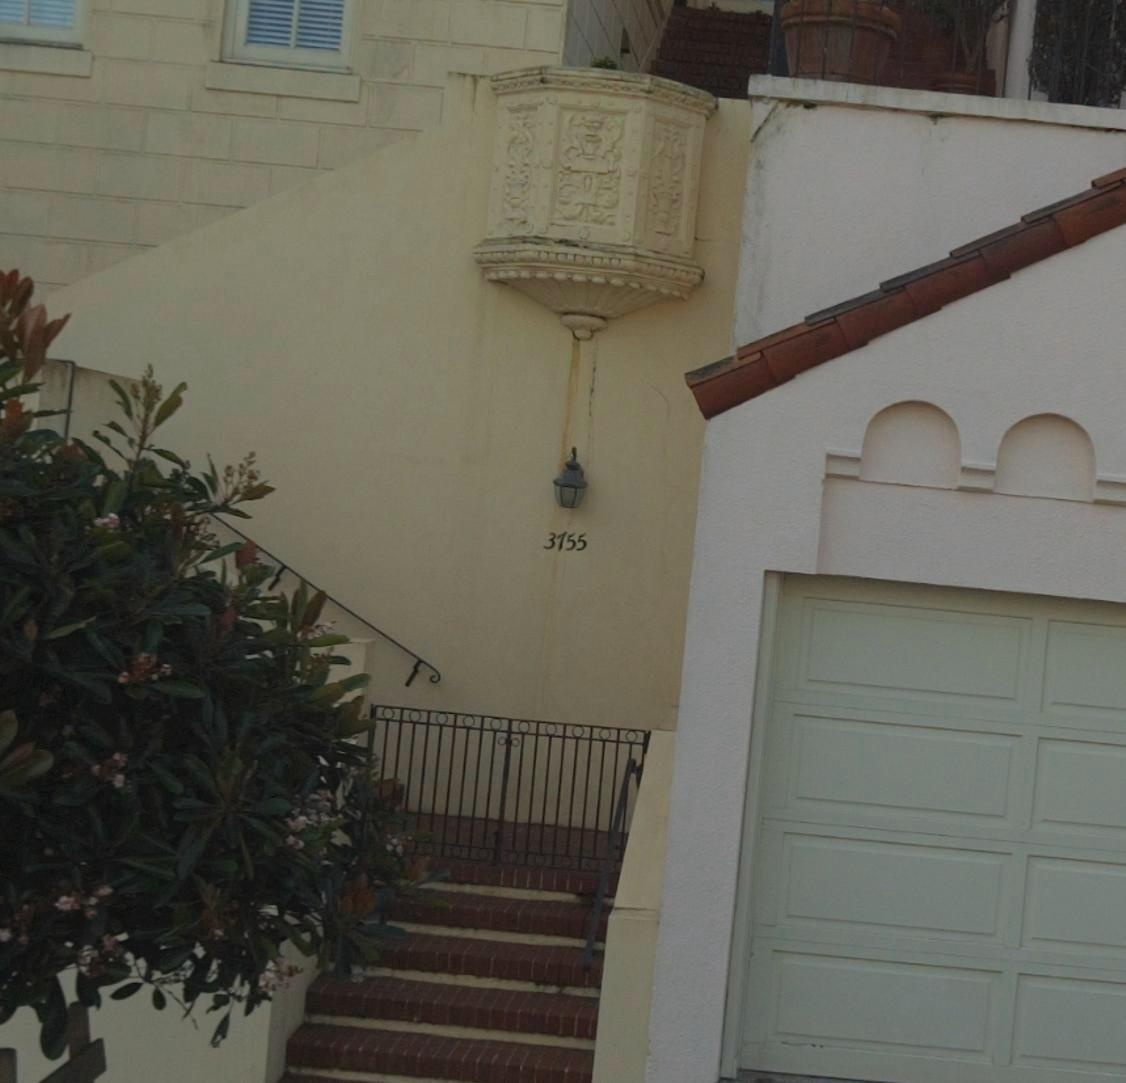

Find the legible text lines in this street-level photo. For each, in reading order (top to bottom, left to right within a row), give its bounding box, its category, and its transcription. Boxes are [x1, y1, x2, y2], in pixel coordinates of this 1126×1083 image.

[541, 529, 589, 554] StreetNumber: 3755